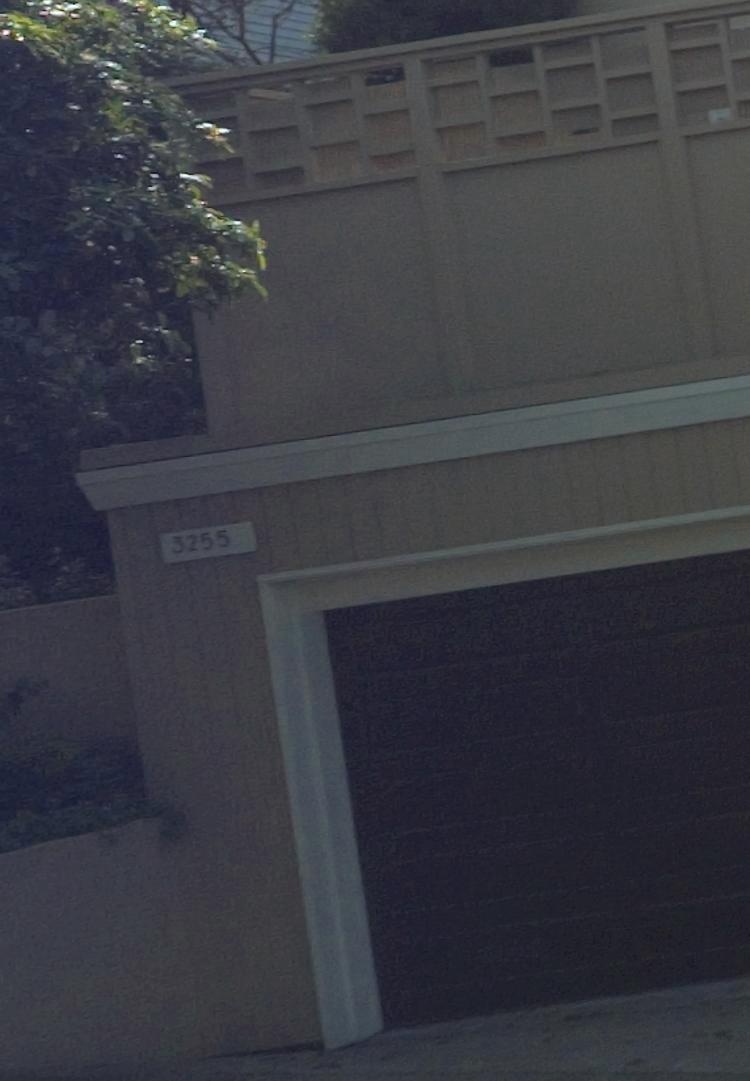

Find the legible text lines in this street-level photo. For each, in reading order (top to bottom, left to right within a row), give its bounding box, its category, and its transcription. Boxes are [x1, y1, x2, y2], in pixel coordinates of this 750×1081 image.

[168, 526, 233, 557] StreetNumber: 3255